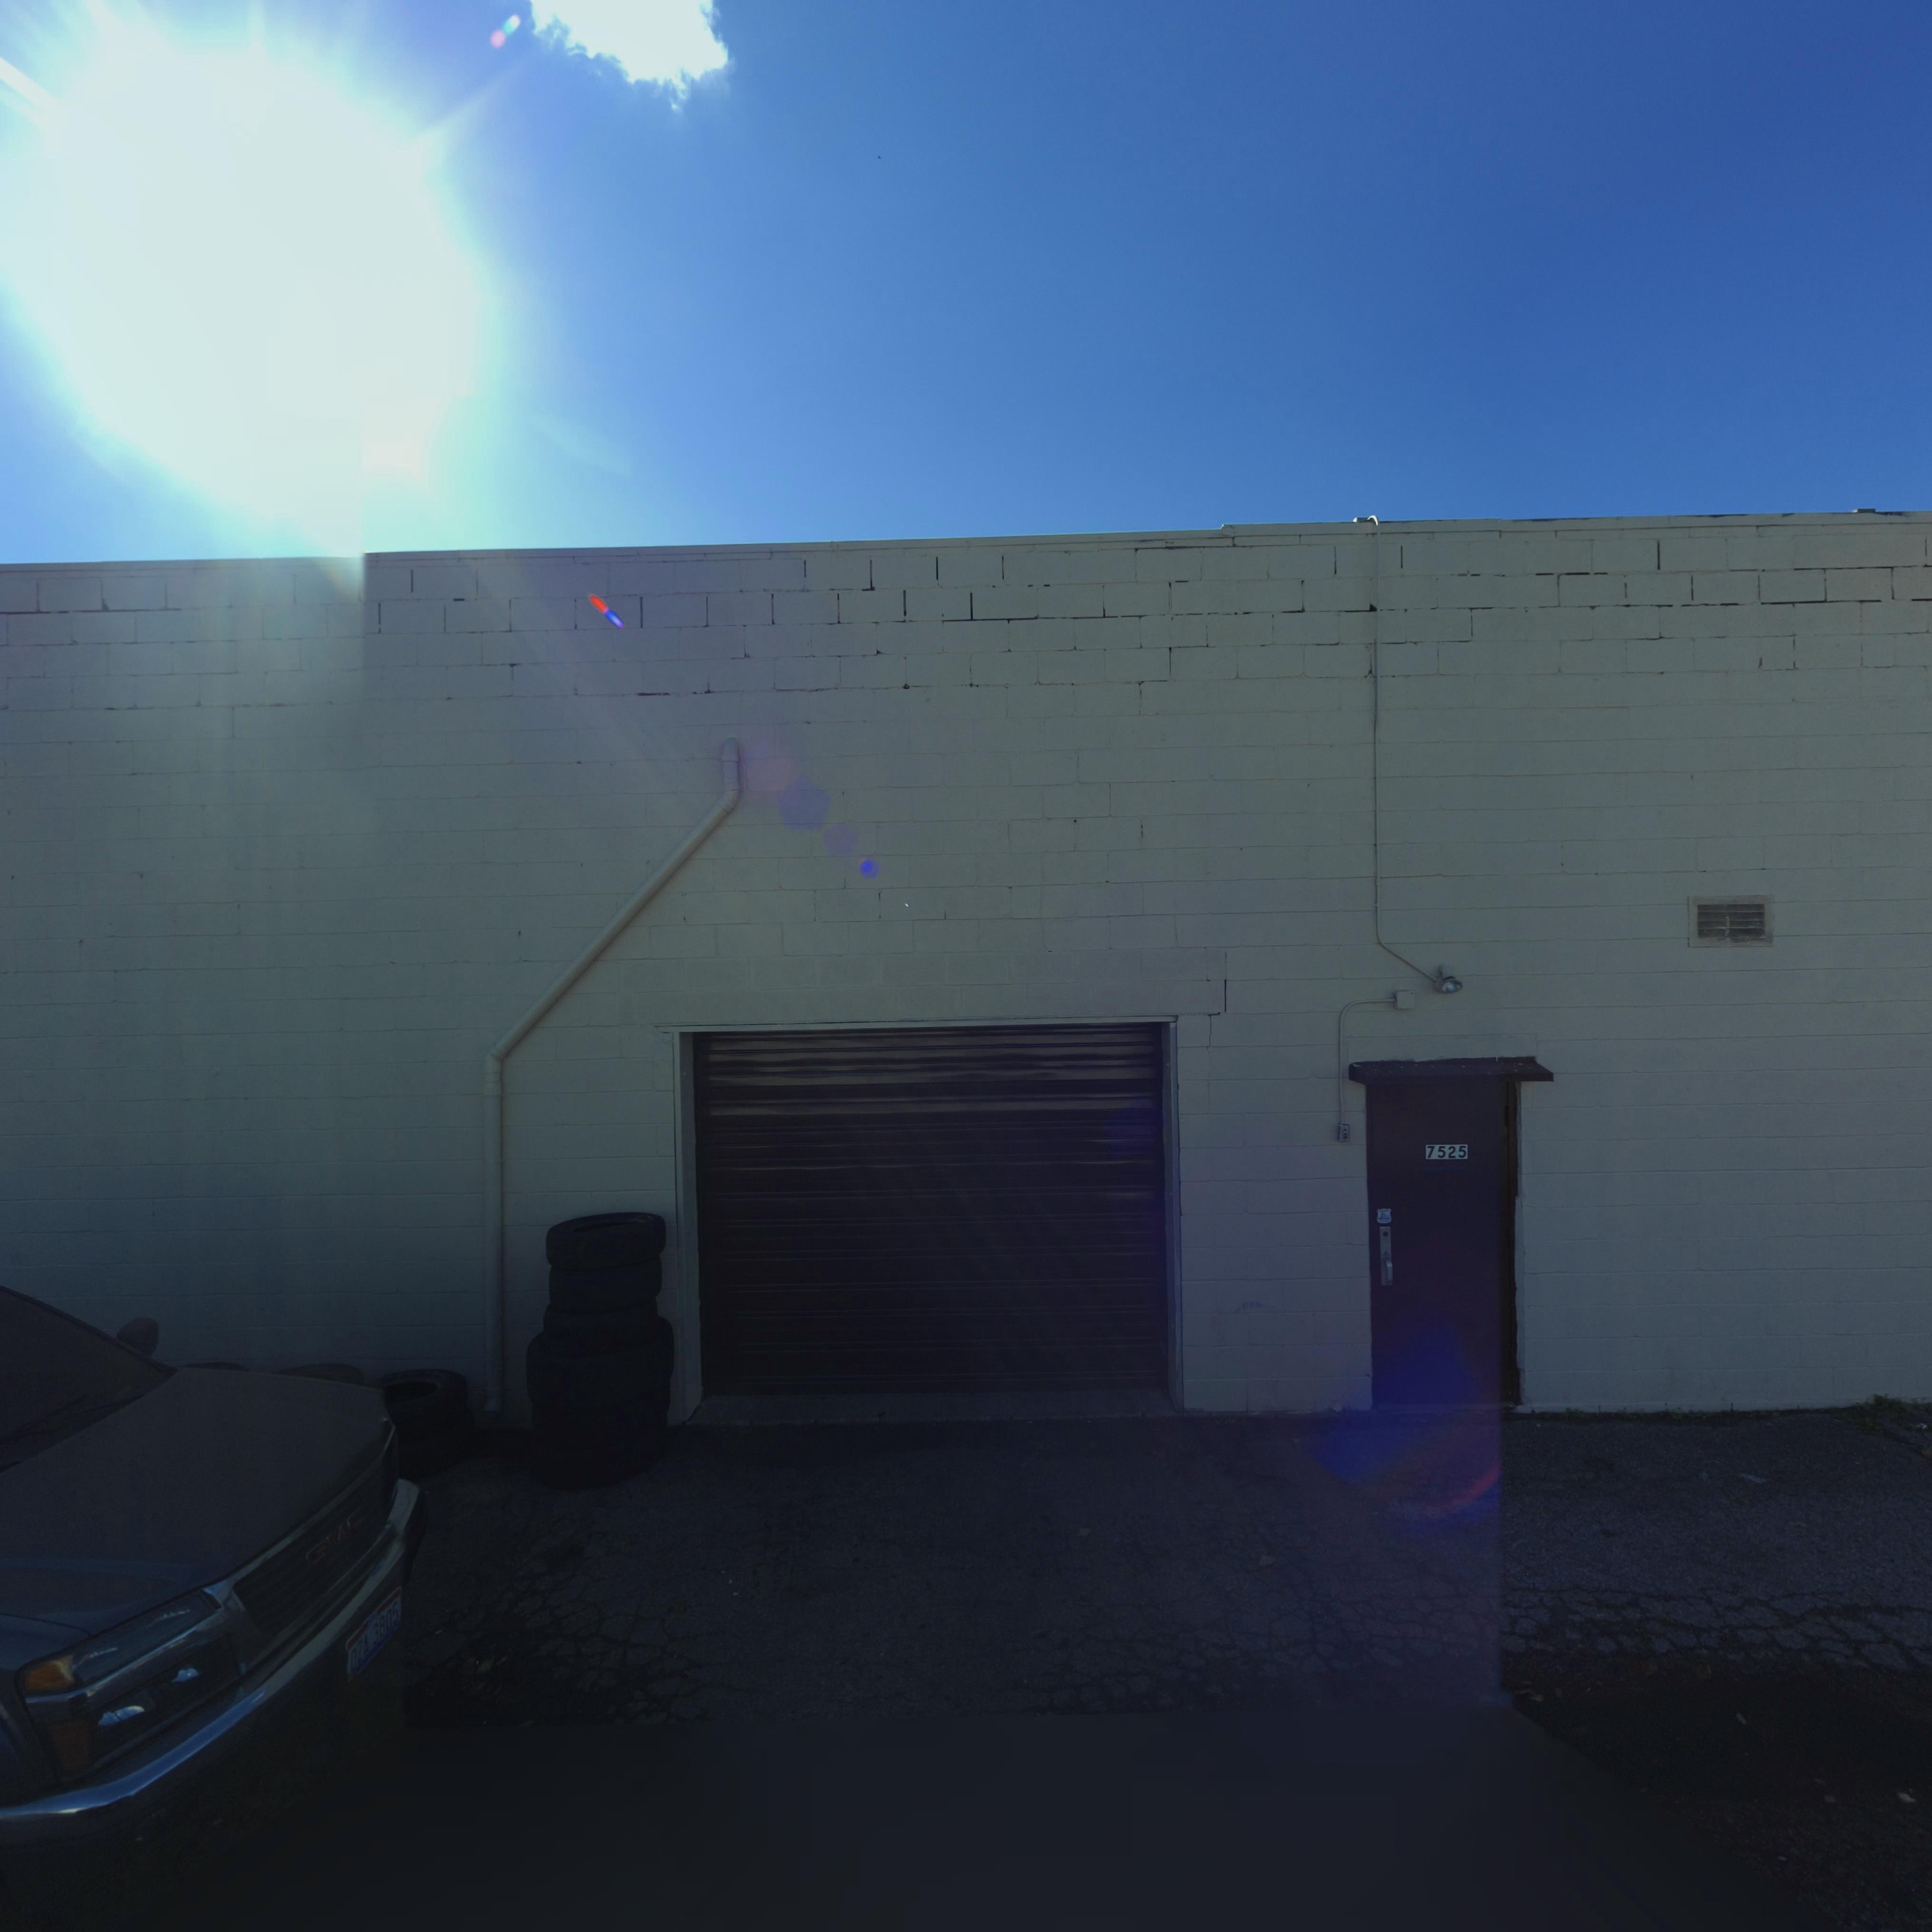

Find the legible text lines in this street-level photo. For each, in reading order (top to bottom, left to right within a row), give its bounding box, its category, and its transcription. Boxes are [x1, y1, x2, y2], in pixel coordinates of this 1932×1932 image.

[1426, 1145, 1467, 1159] StreetNumber: 7525